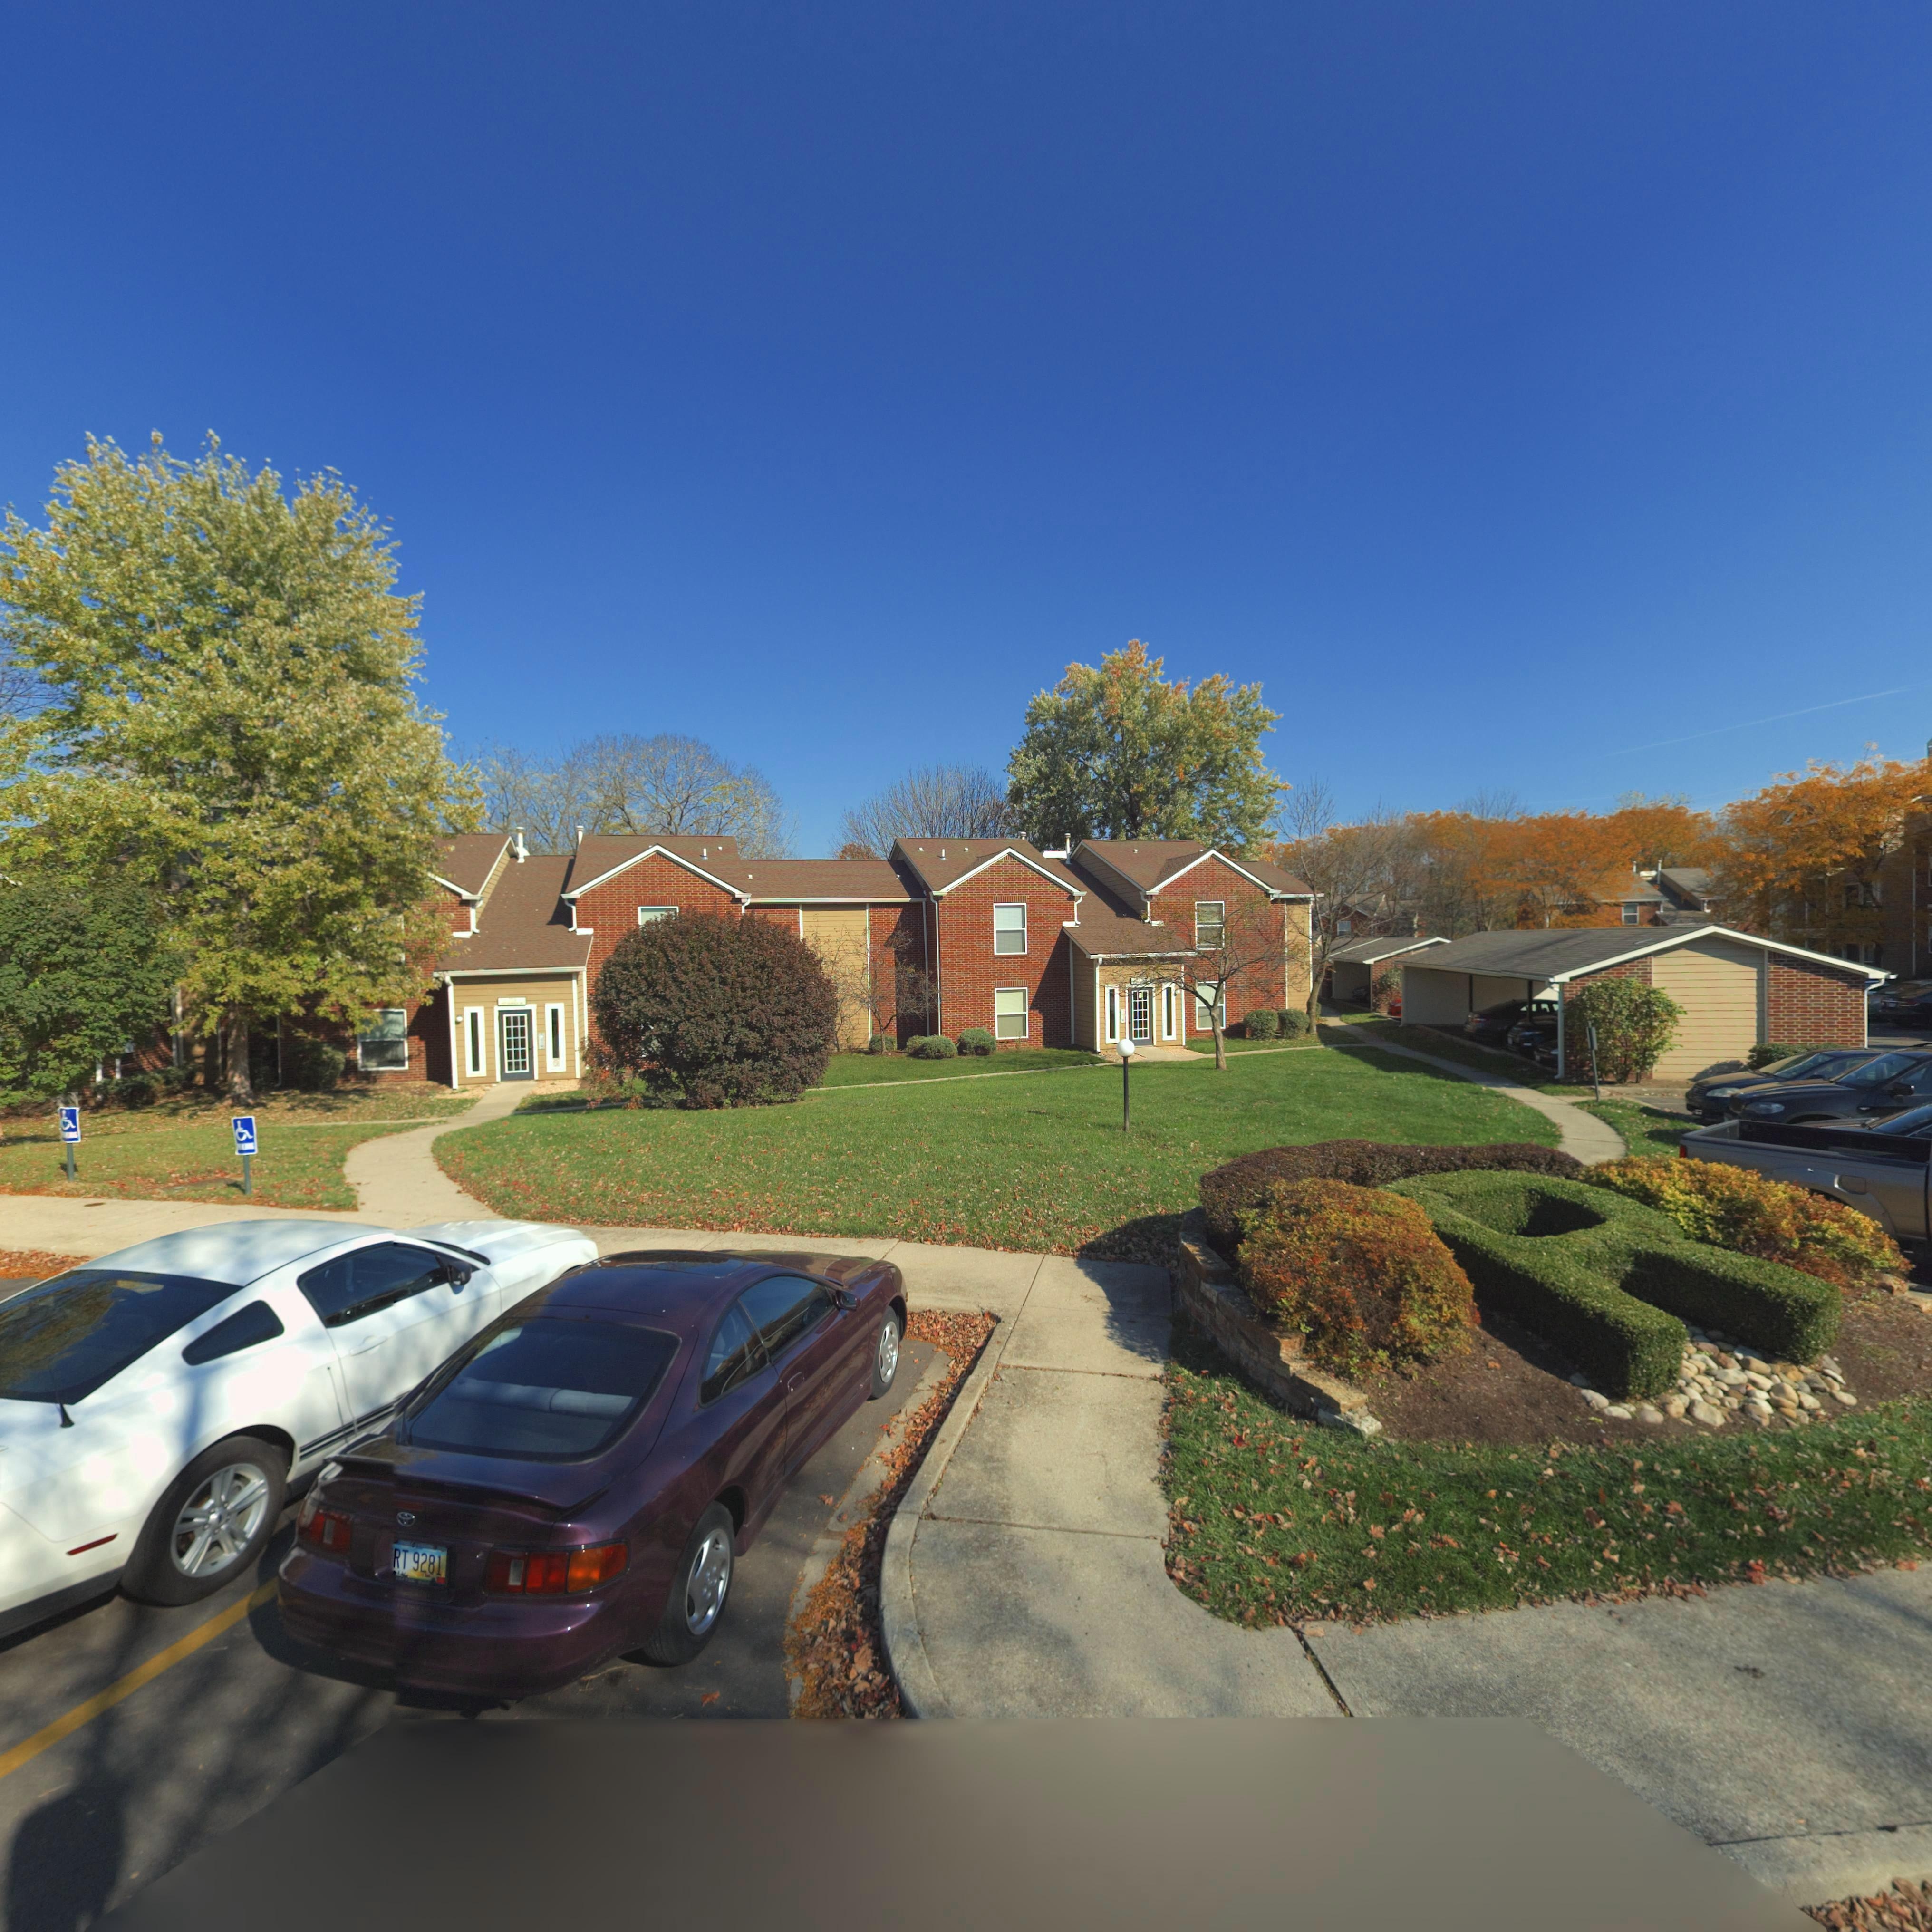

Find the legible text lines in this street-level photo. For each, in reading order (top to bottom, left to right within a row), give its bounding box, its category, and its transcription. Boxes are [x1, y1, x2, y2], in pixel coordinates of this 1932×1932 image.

[391, 1546, 444, 1578] None: RT 9281